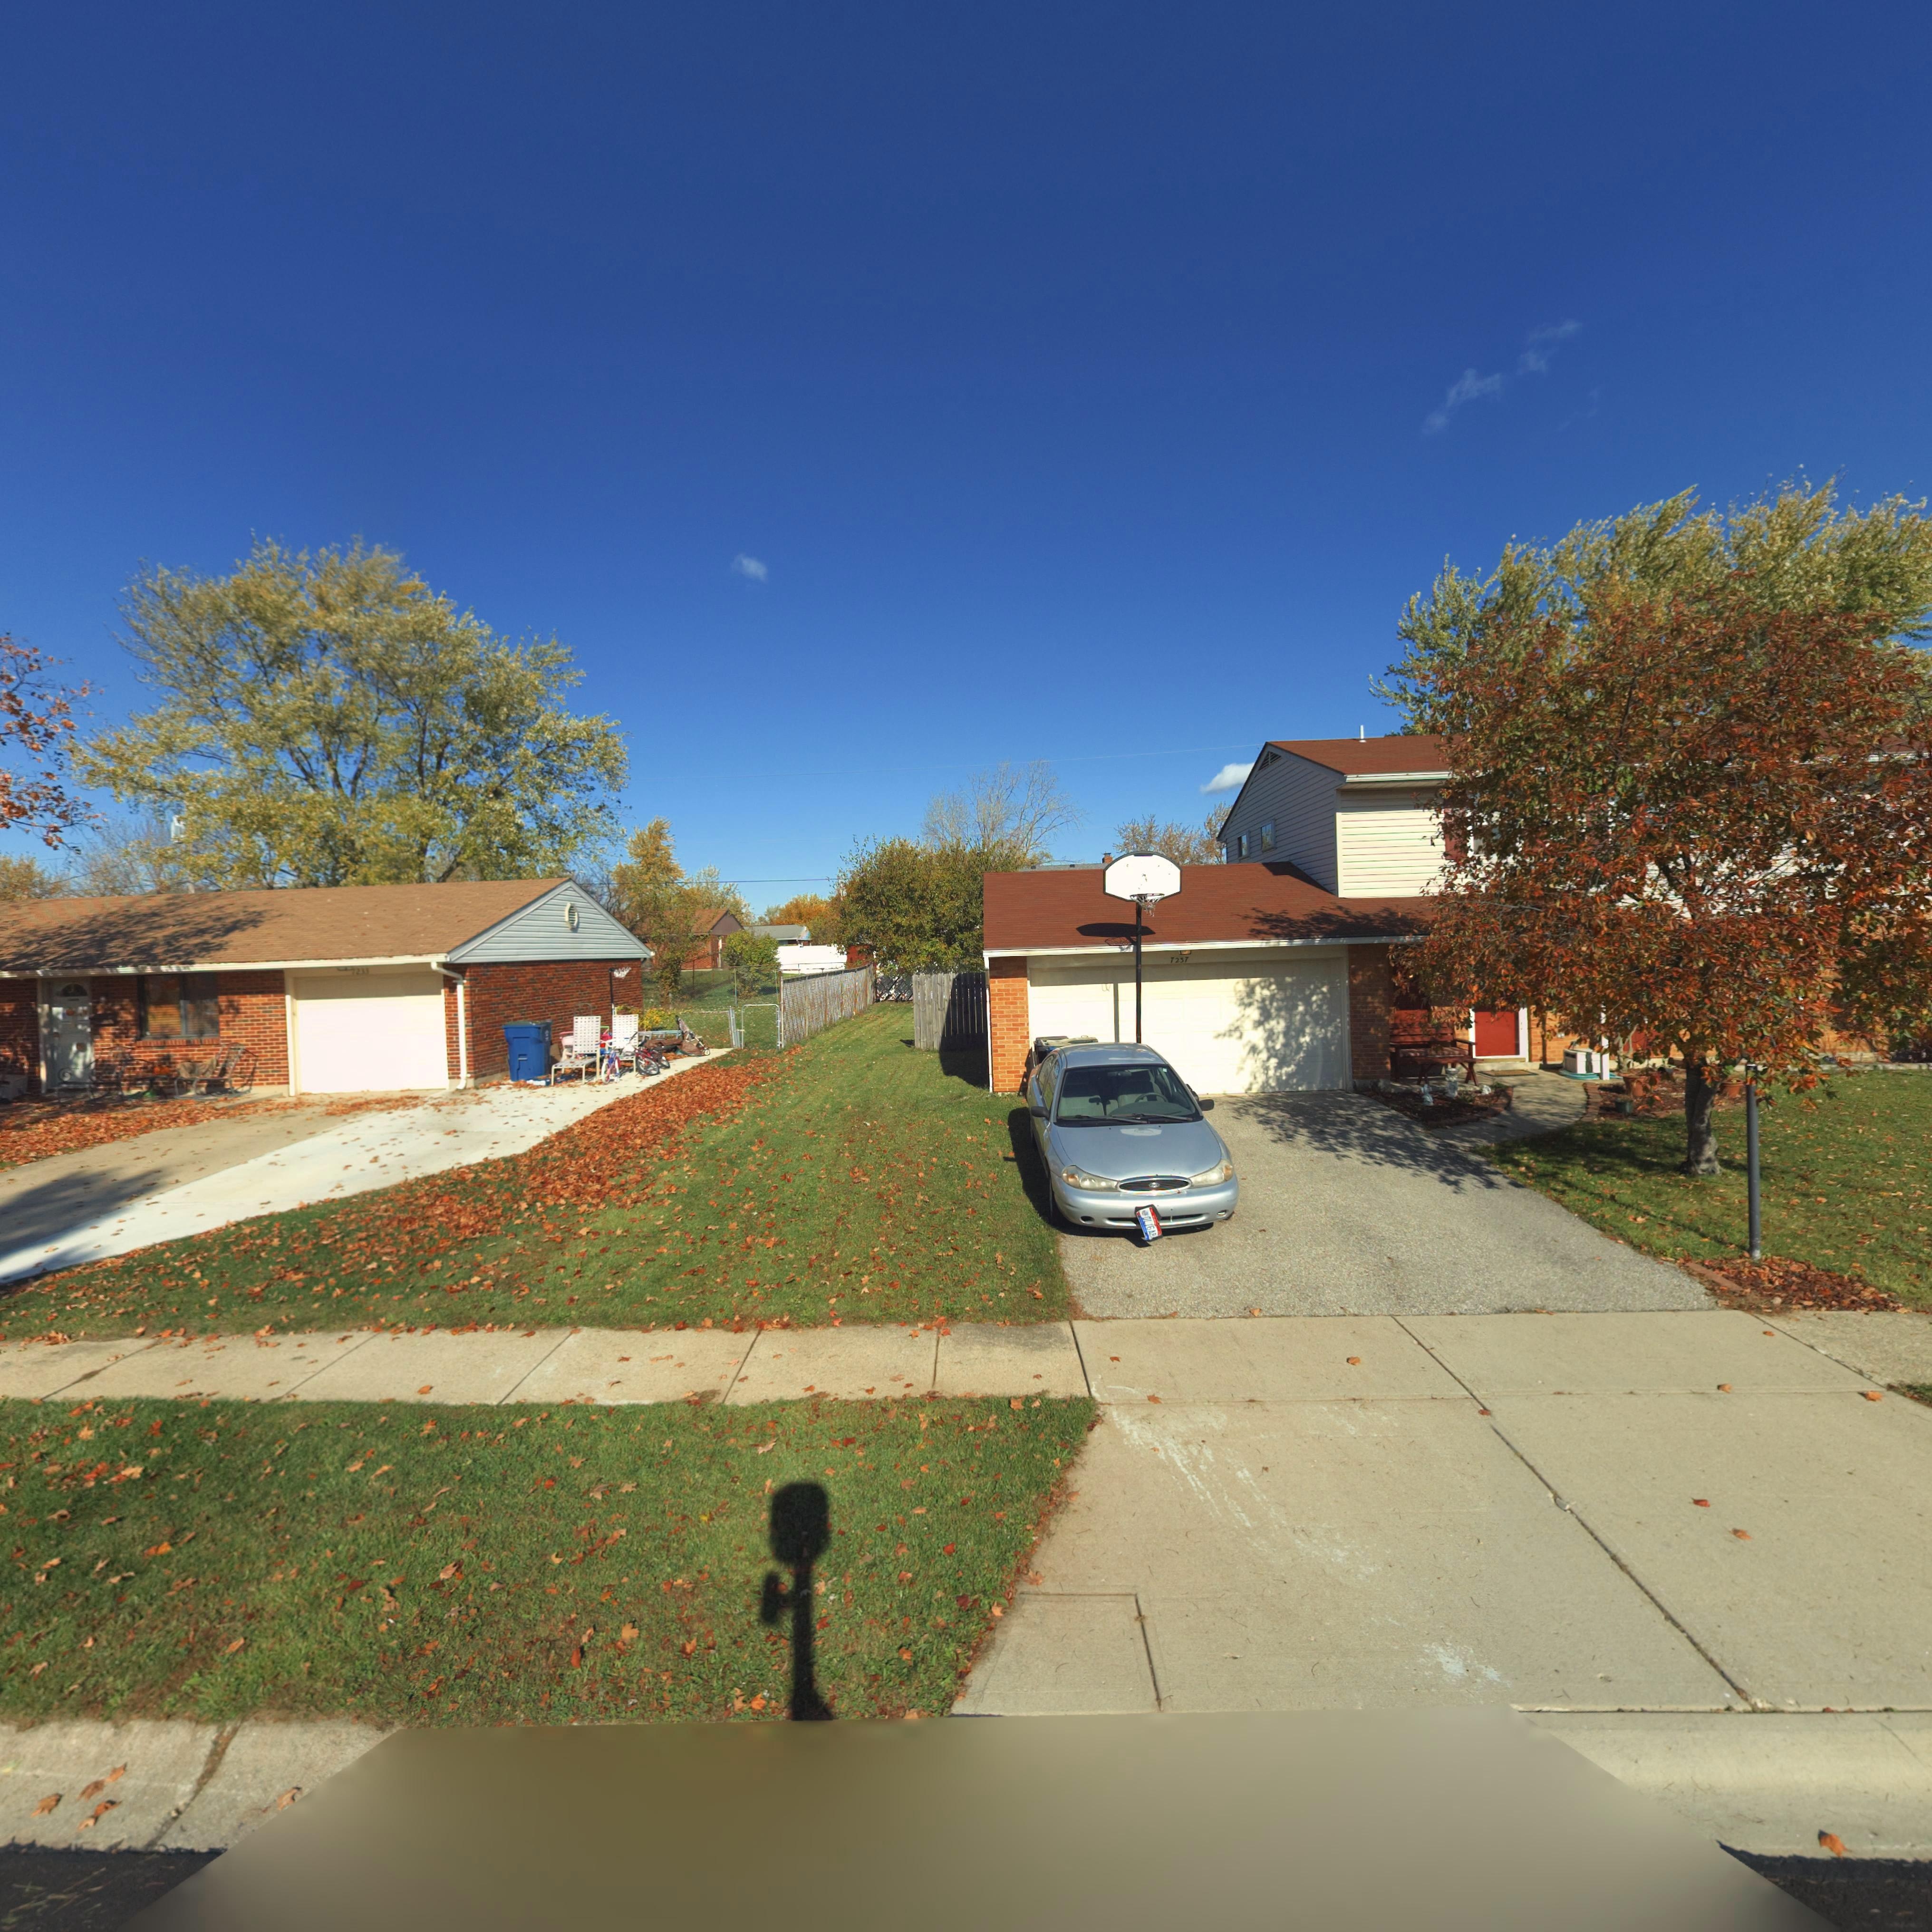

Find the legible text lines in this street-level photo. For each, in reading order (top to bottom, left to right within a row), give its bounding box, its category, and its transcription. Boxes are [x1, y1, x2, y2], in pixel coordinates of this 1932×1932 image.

[1169, 956, 1190, 965] StreetNumber: 7237
[349, 966, 371, 977] StreetNumber: *2**